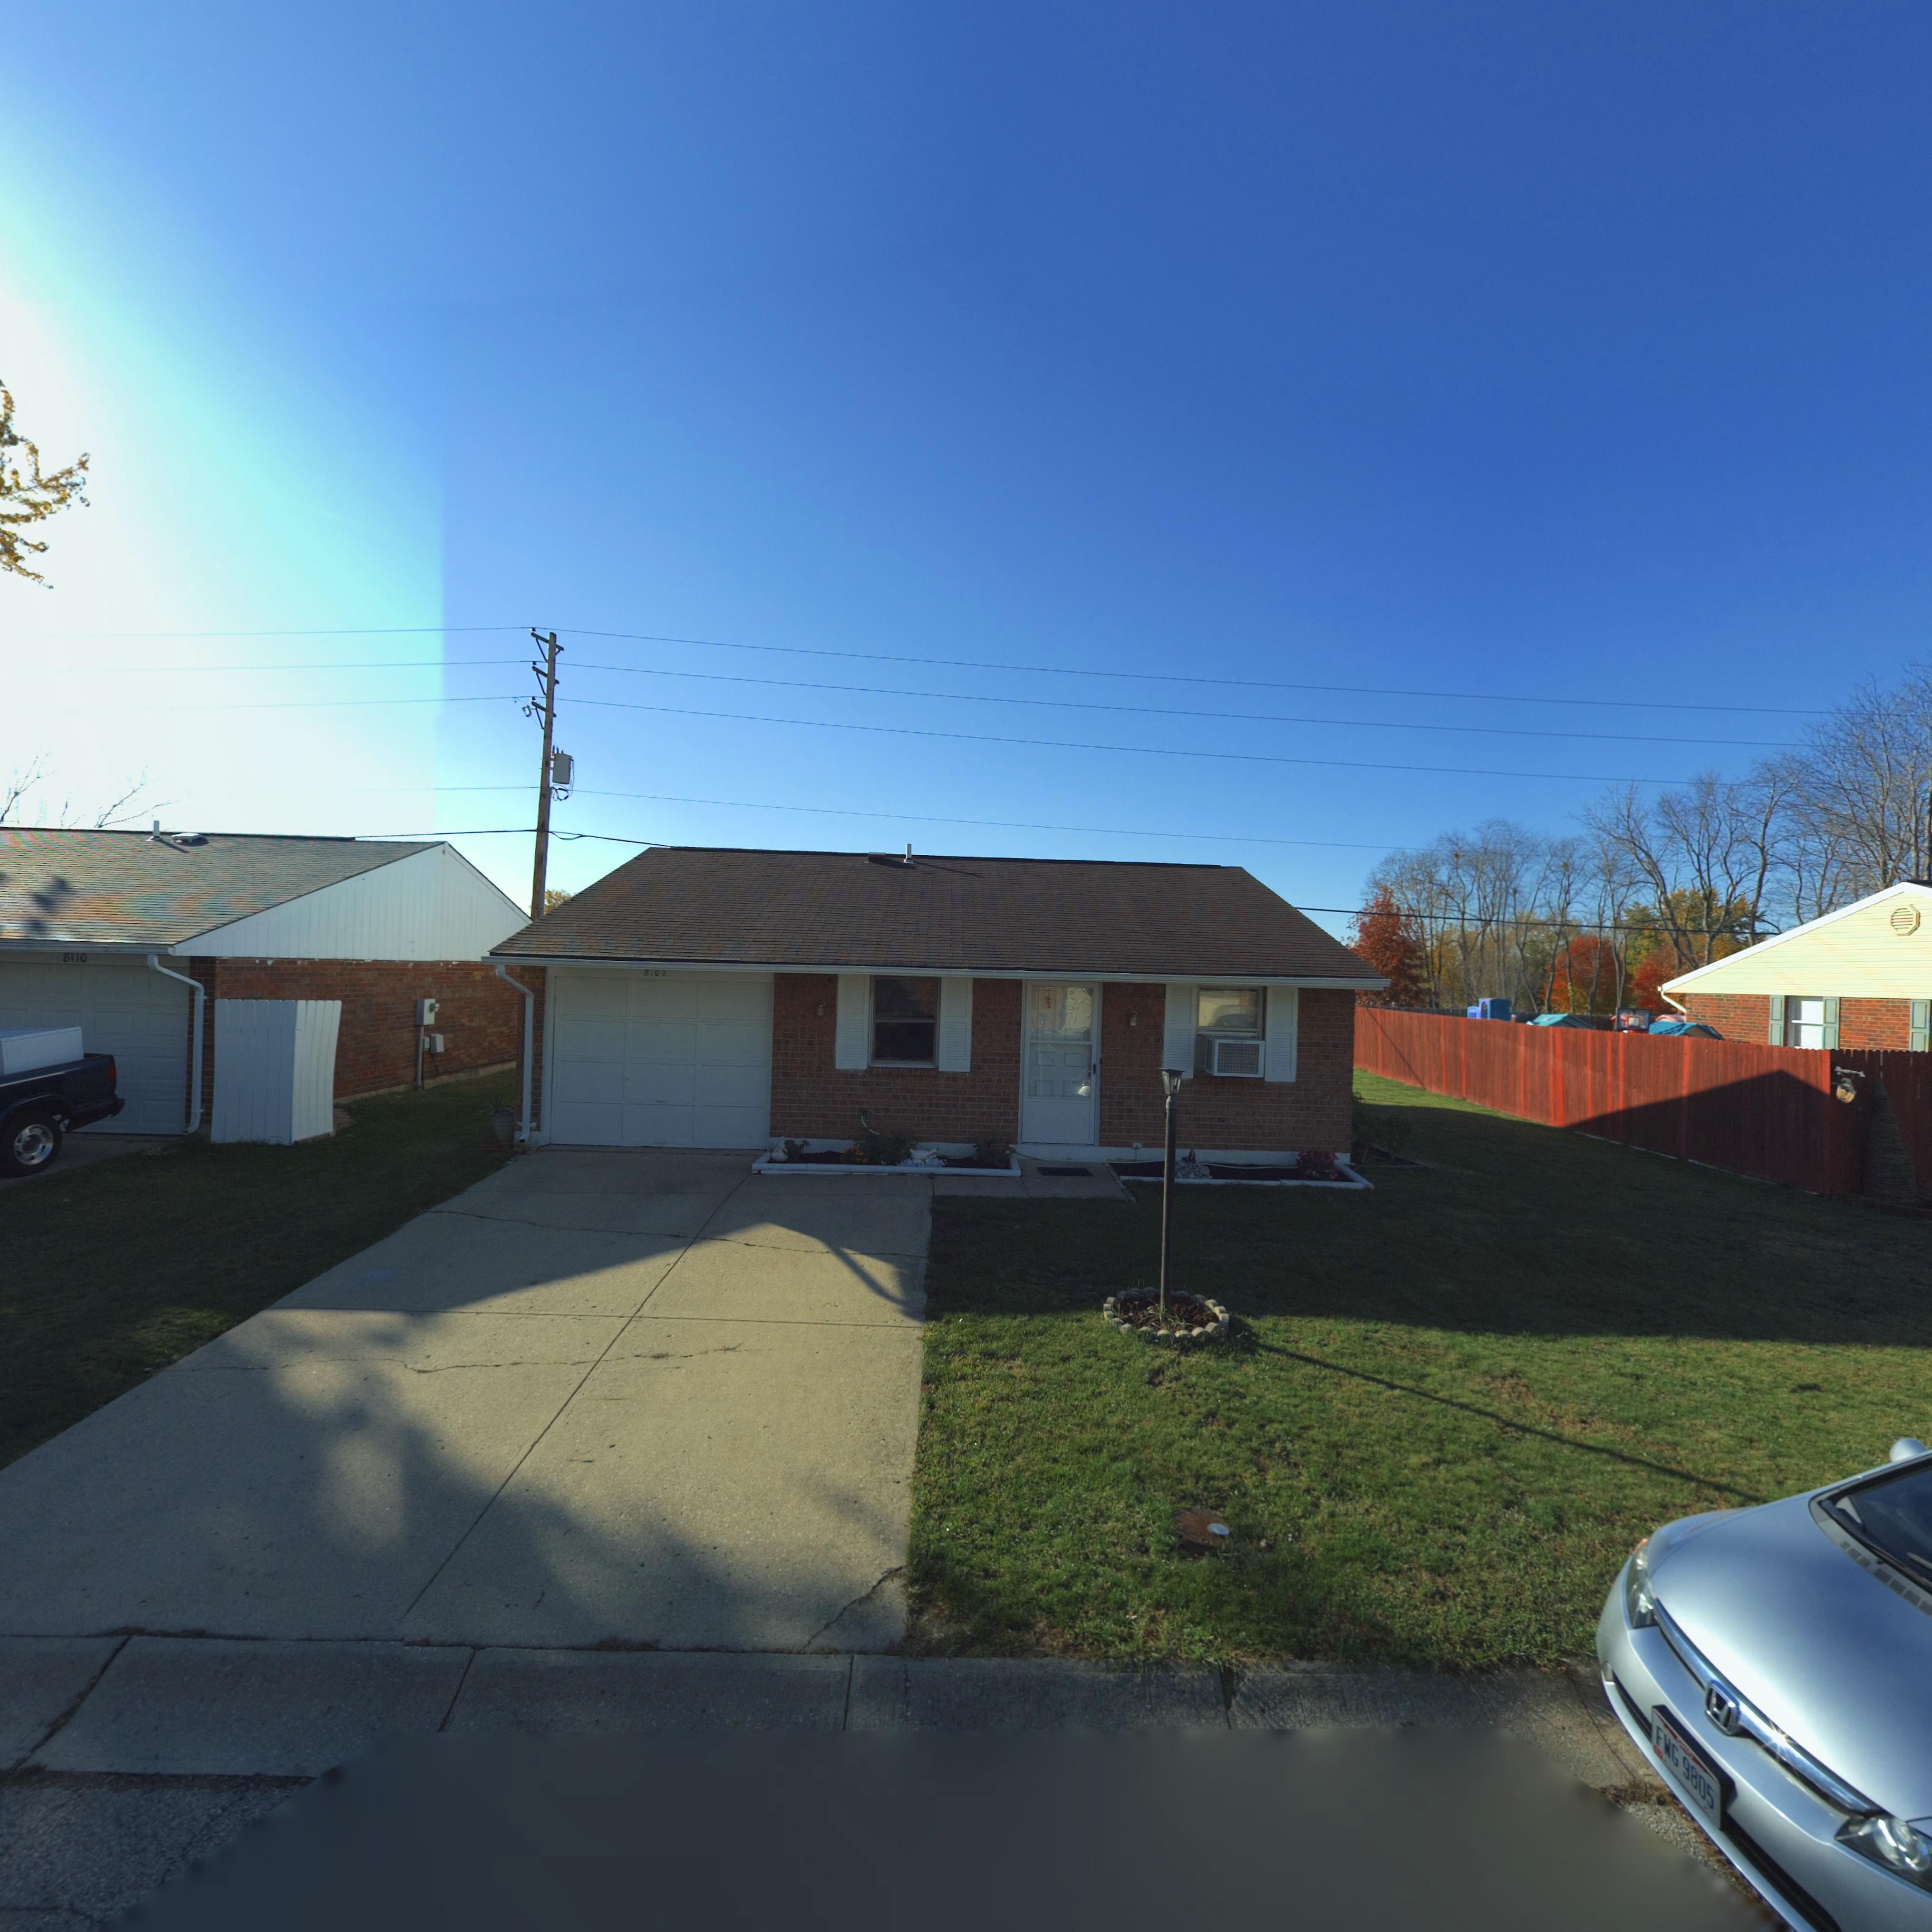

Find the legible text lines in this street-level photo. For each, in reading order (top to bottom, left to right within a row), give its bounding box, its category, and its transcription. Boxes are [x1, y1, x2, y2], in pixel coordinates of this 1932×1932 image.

[61, 952, 87, 964] StreetNumber: 8110
[642, 968, 667, 977] StreetNumber: 8102